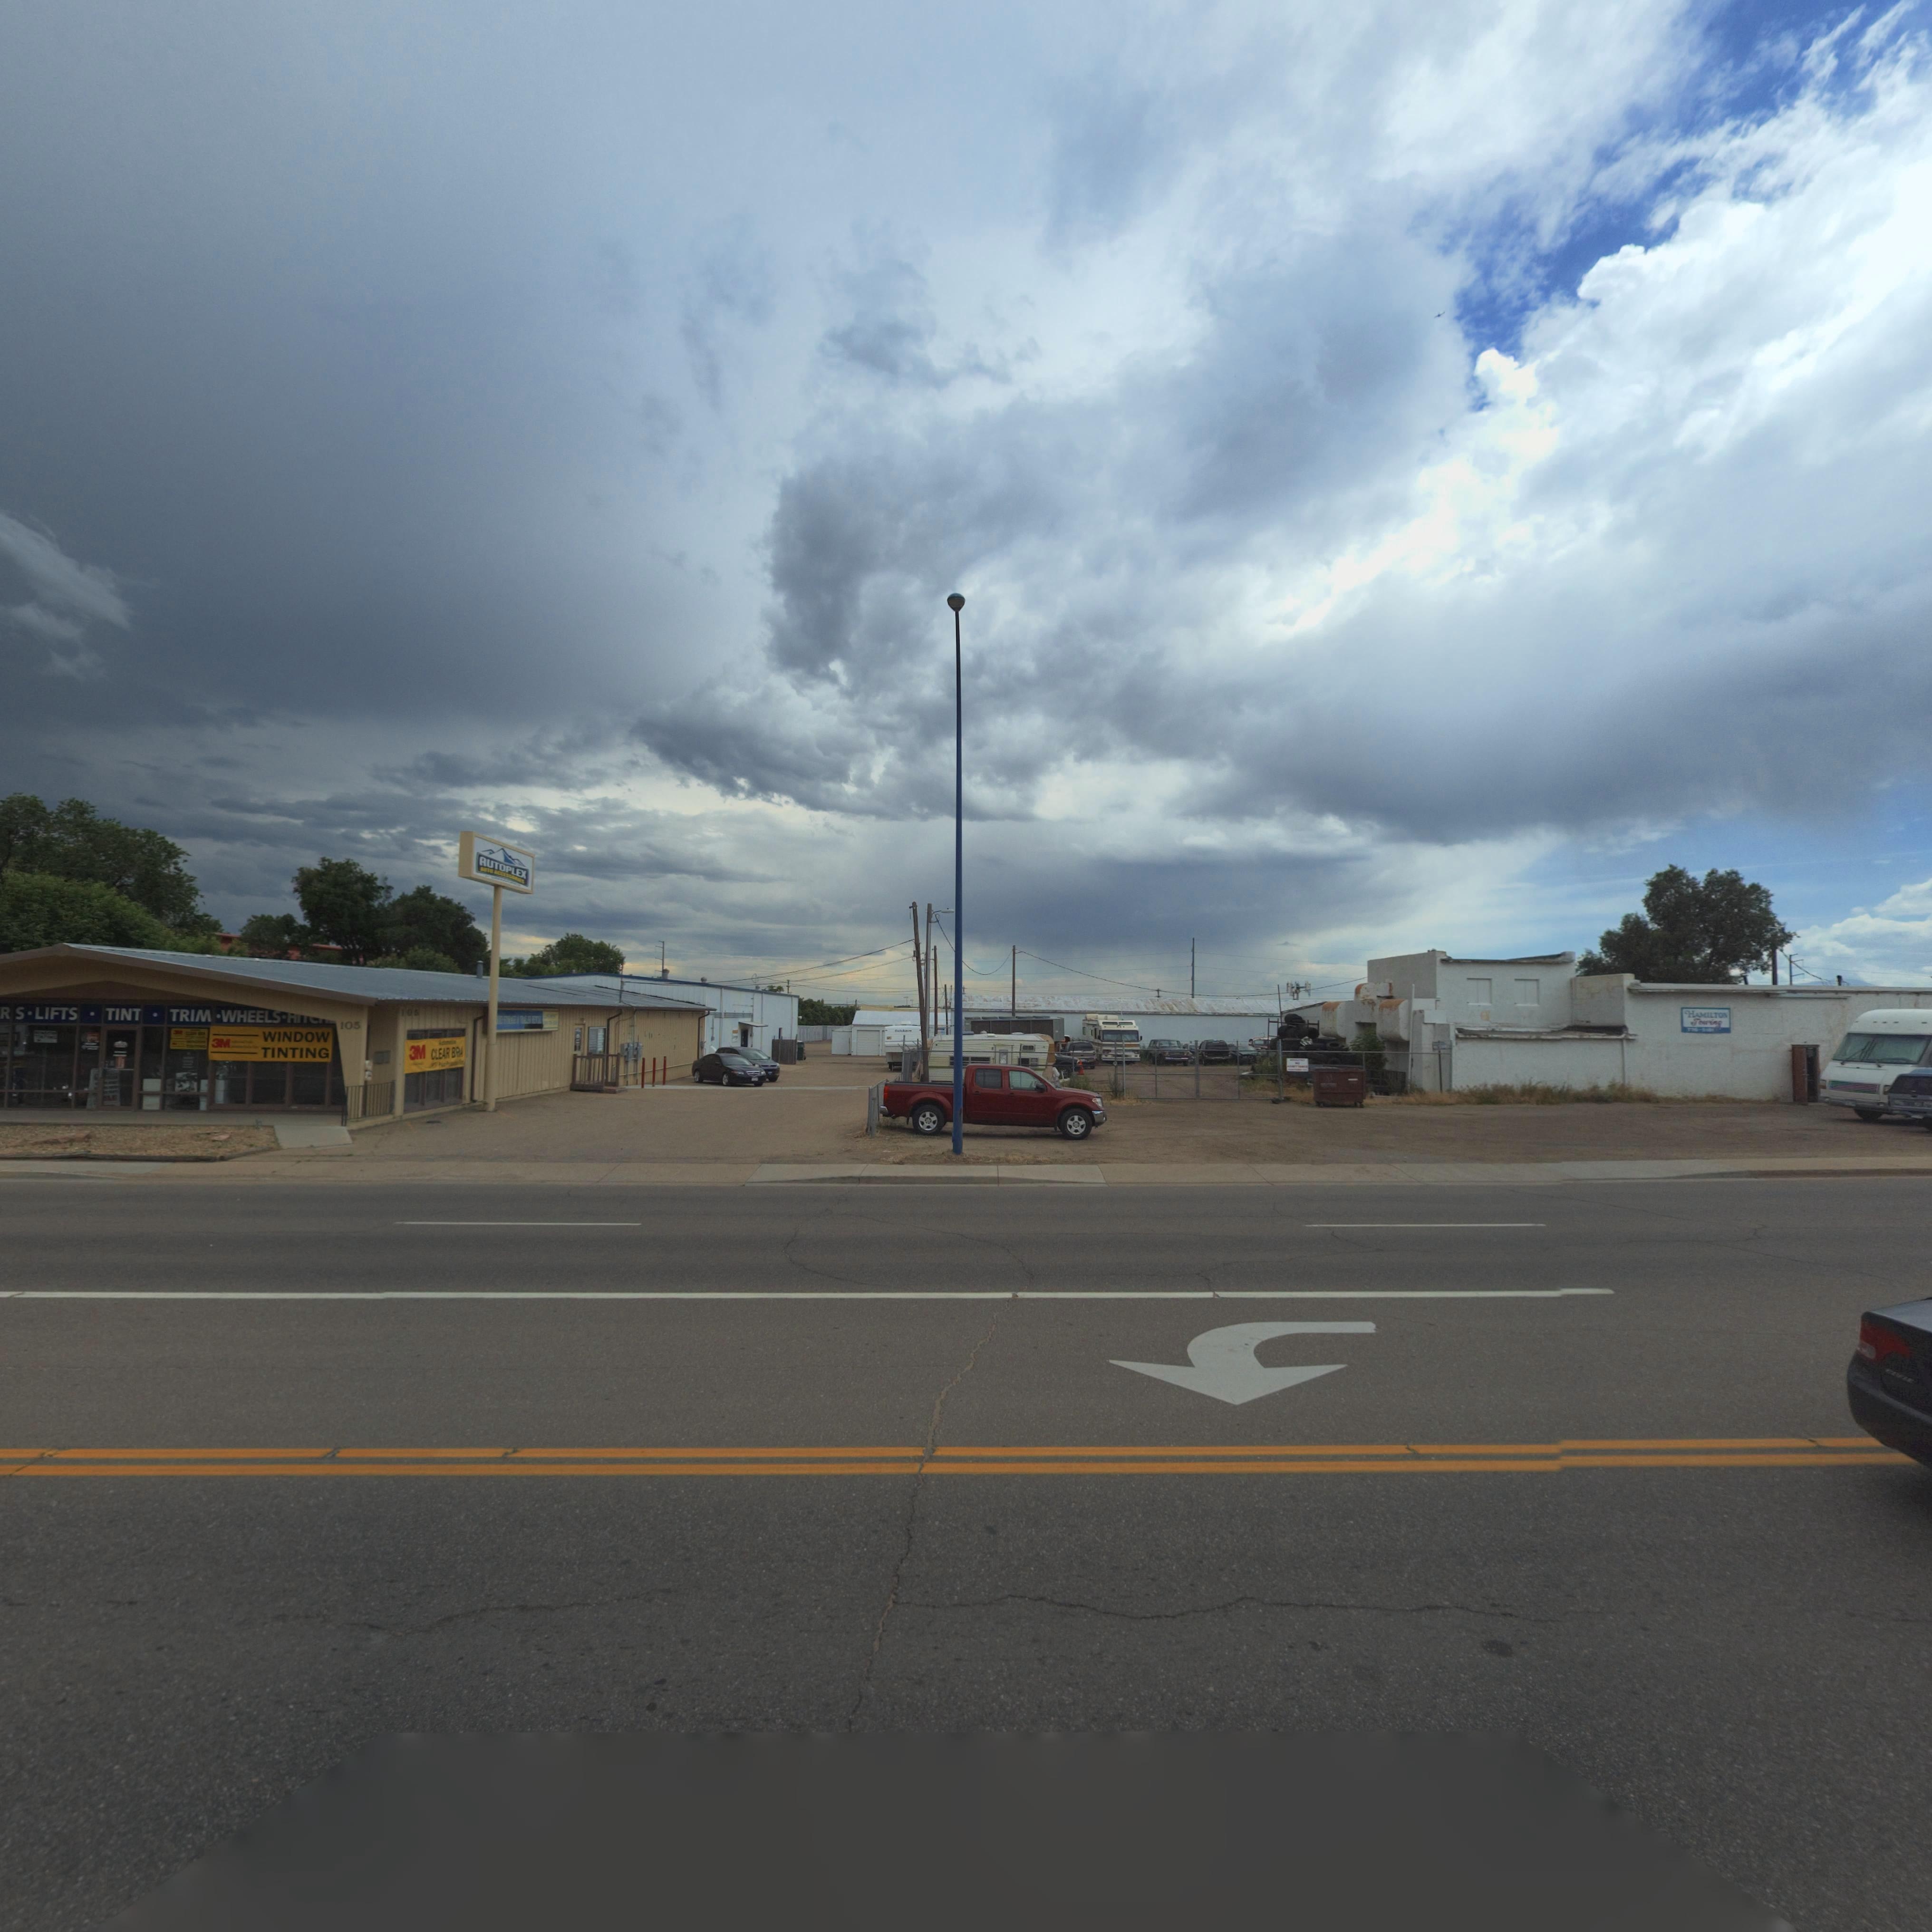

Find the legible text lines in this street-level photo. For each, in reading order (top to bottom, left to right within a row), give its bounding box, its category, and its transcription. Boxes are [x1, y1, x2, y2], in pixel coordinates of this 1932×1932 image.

[479, 856, 527, 879] BusinessName: AUTOPLEX
[400, 1008, 420, 1017] StreetNumber: 105
[1684, 1009, 1729, 1018] BusinessName: HAMILTON
[340, 1020, 361, 1030] StreetNumber: 105
[1690, 1017, 1723, 1032] BusinessName: Towing